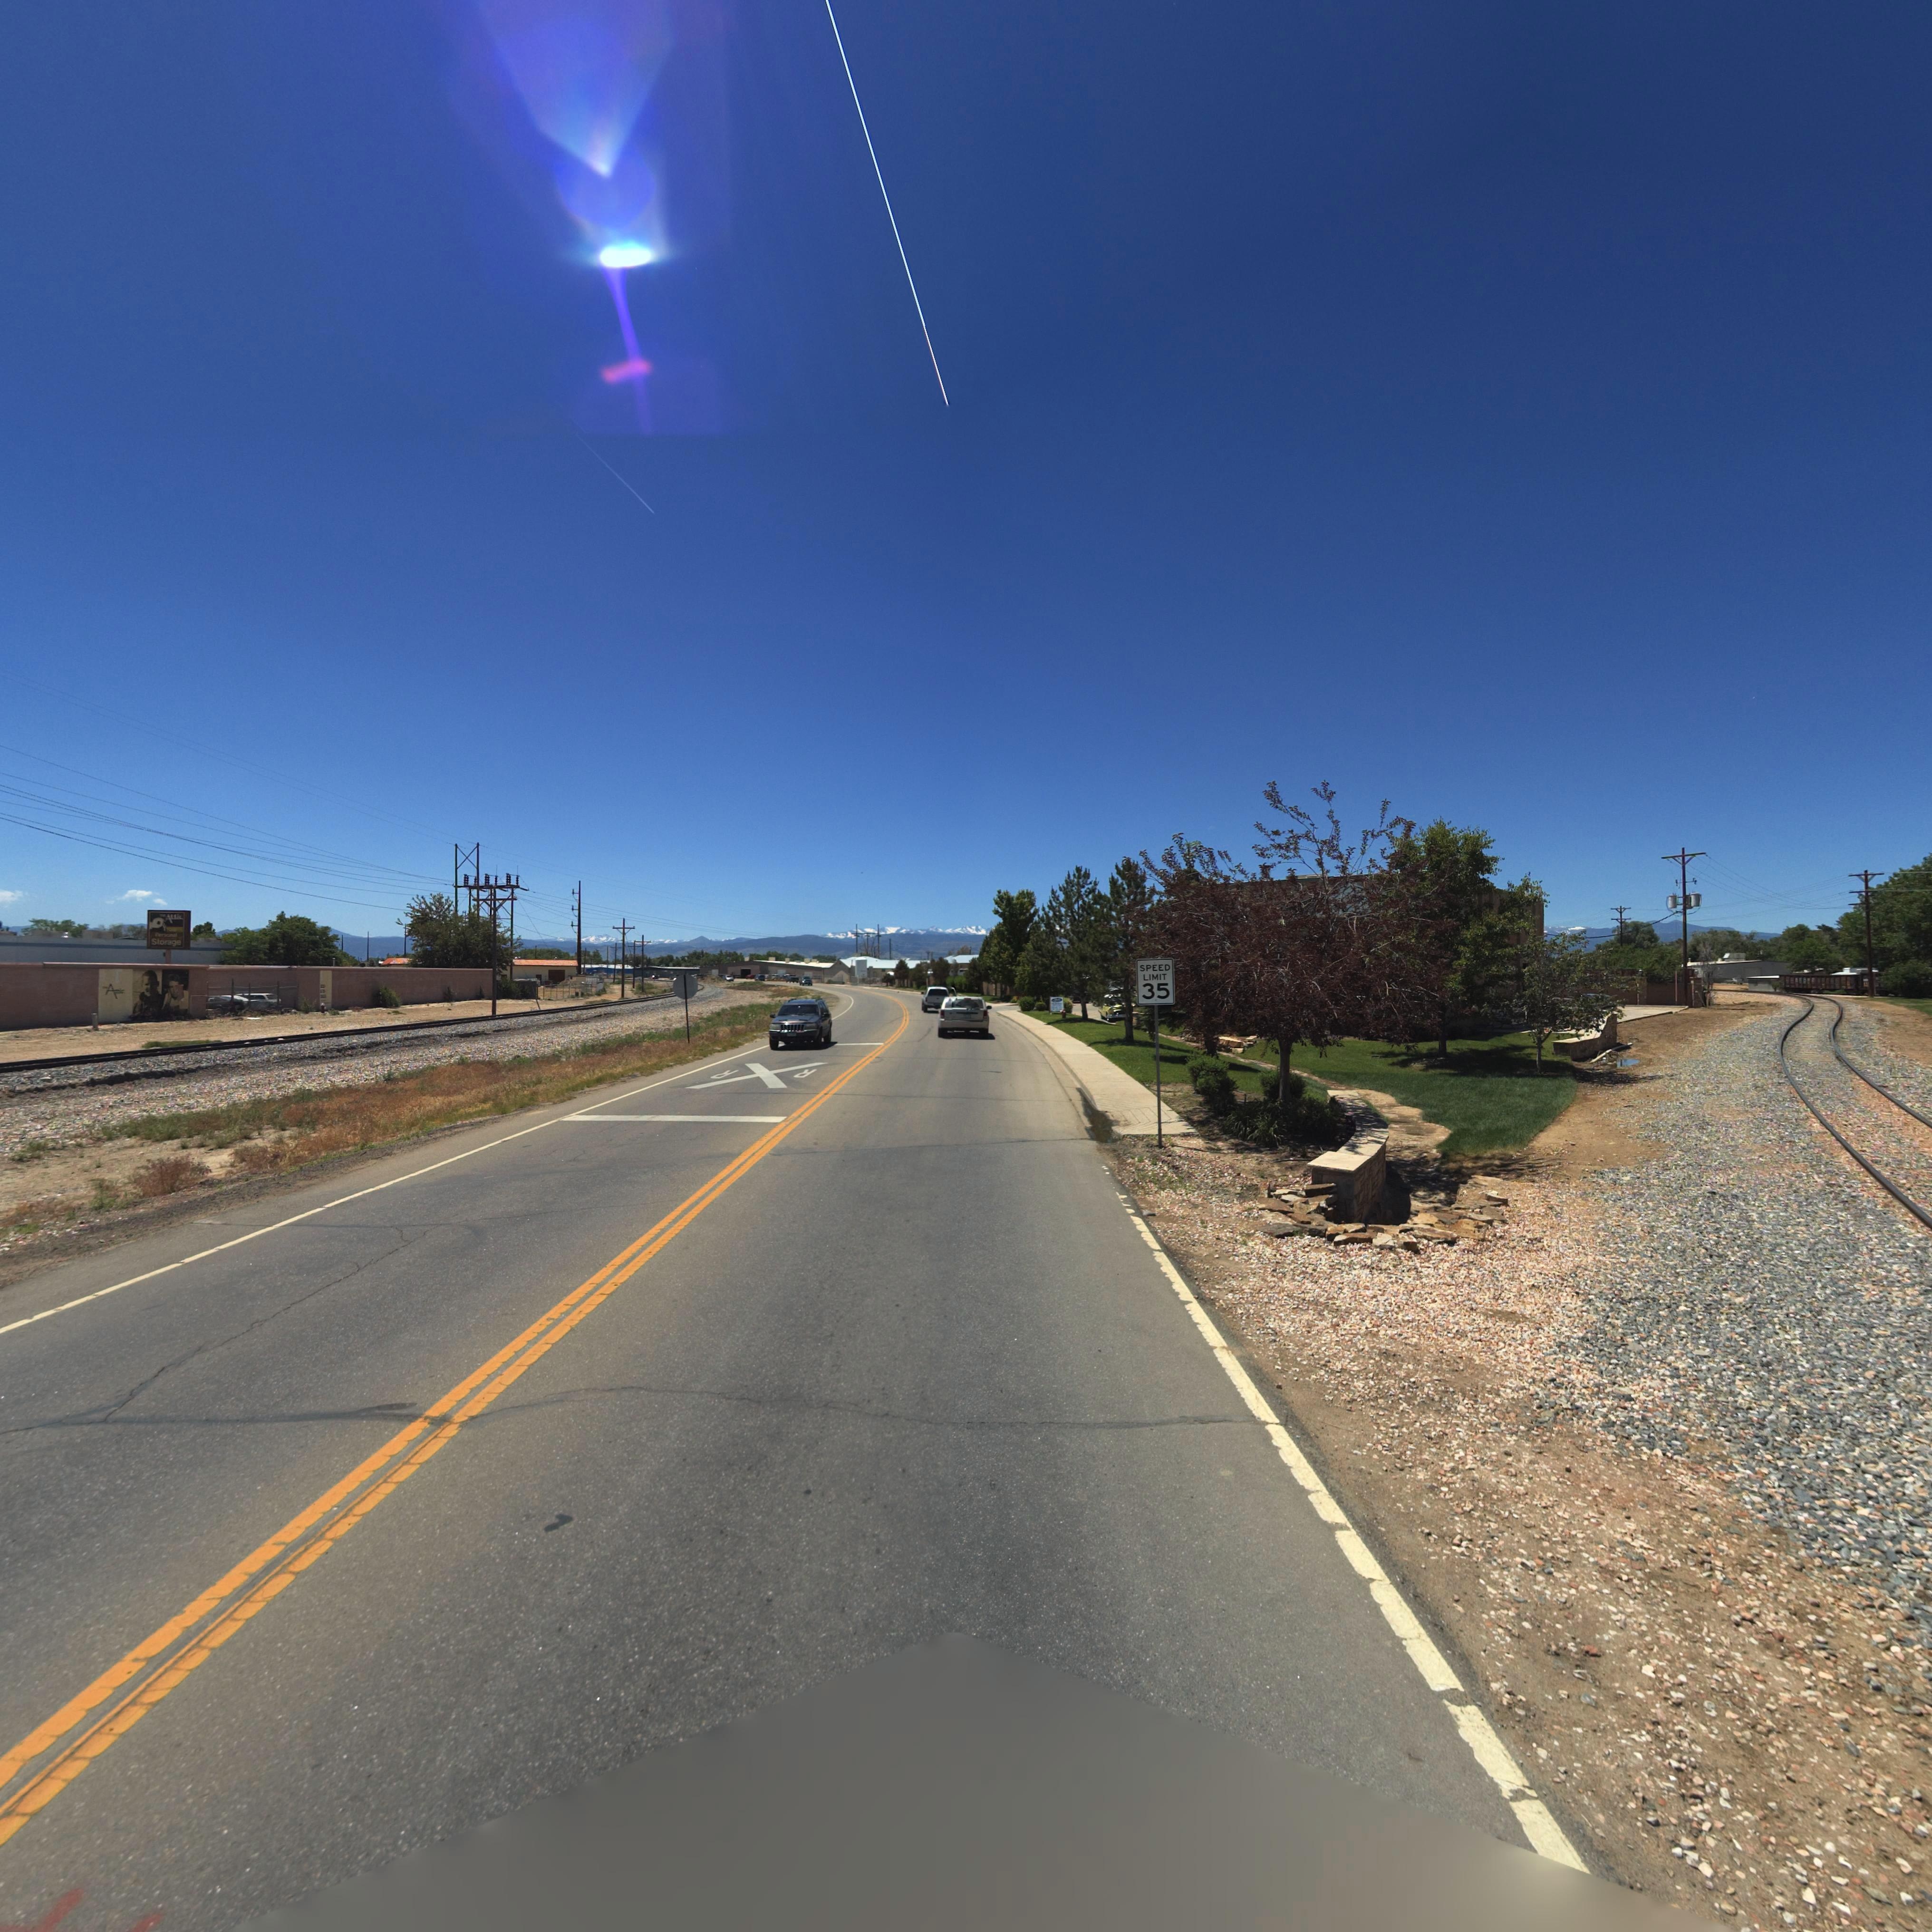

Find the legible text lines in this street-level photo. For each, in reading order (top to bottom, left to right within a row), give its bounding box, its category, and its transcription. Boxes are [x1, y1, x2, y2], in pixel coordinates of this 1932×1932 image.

[158, 914, 183, 924] BusinessName: *** ALLEY